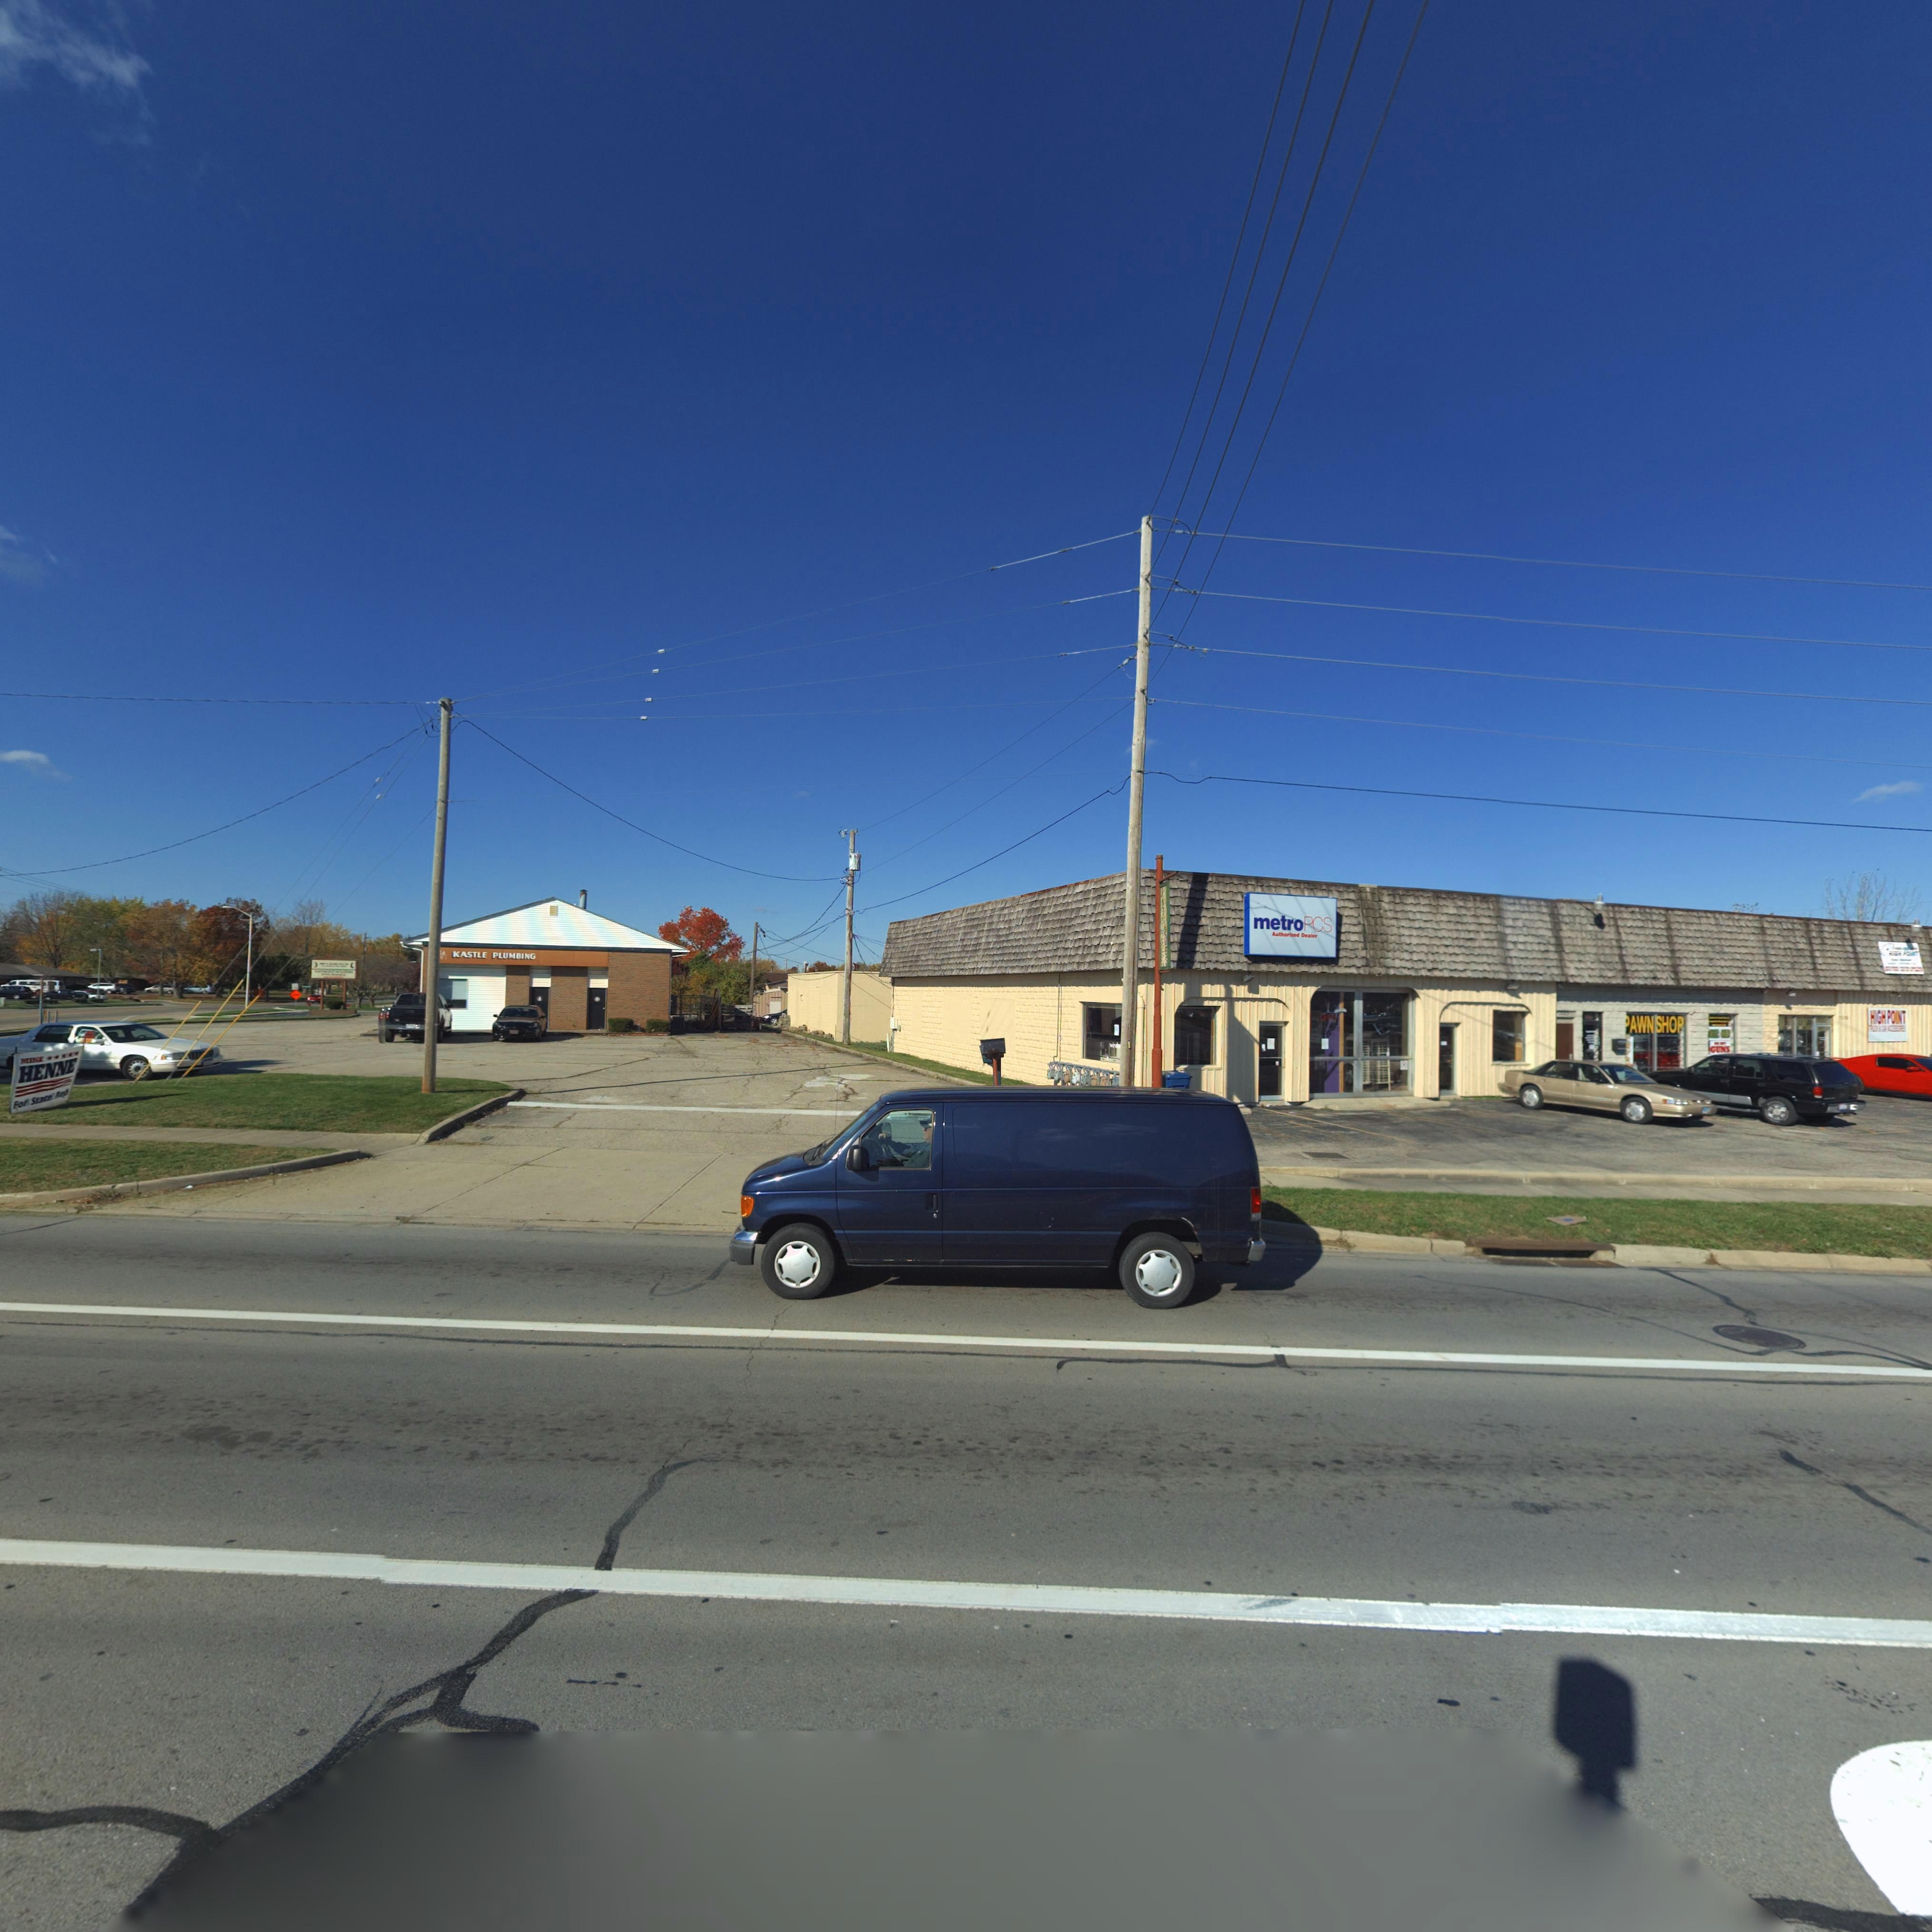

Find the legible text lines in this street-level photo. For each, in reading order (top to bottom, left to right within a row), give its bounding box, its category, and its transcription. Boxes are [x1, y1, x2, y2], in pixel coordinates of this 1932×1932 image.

[1253, 915, 1333, 934] BusinessName: metroPCS
[452, 950, 536, 960] BusinessName: KASTLE PLUMBING
[1562, 1011, 1570, 1016] StreetNumber: 23
[1838, 1015, 1848, 1020] StreetNumber: 7***
[1869, 1009, 1906, 1025] BusinessName: HIGH POINT